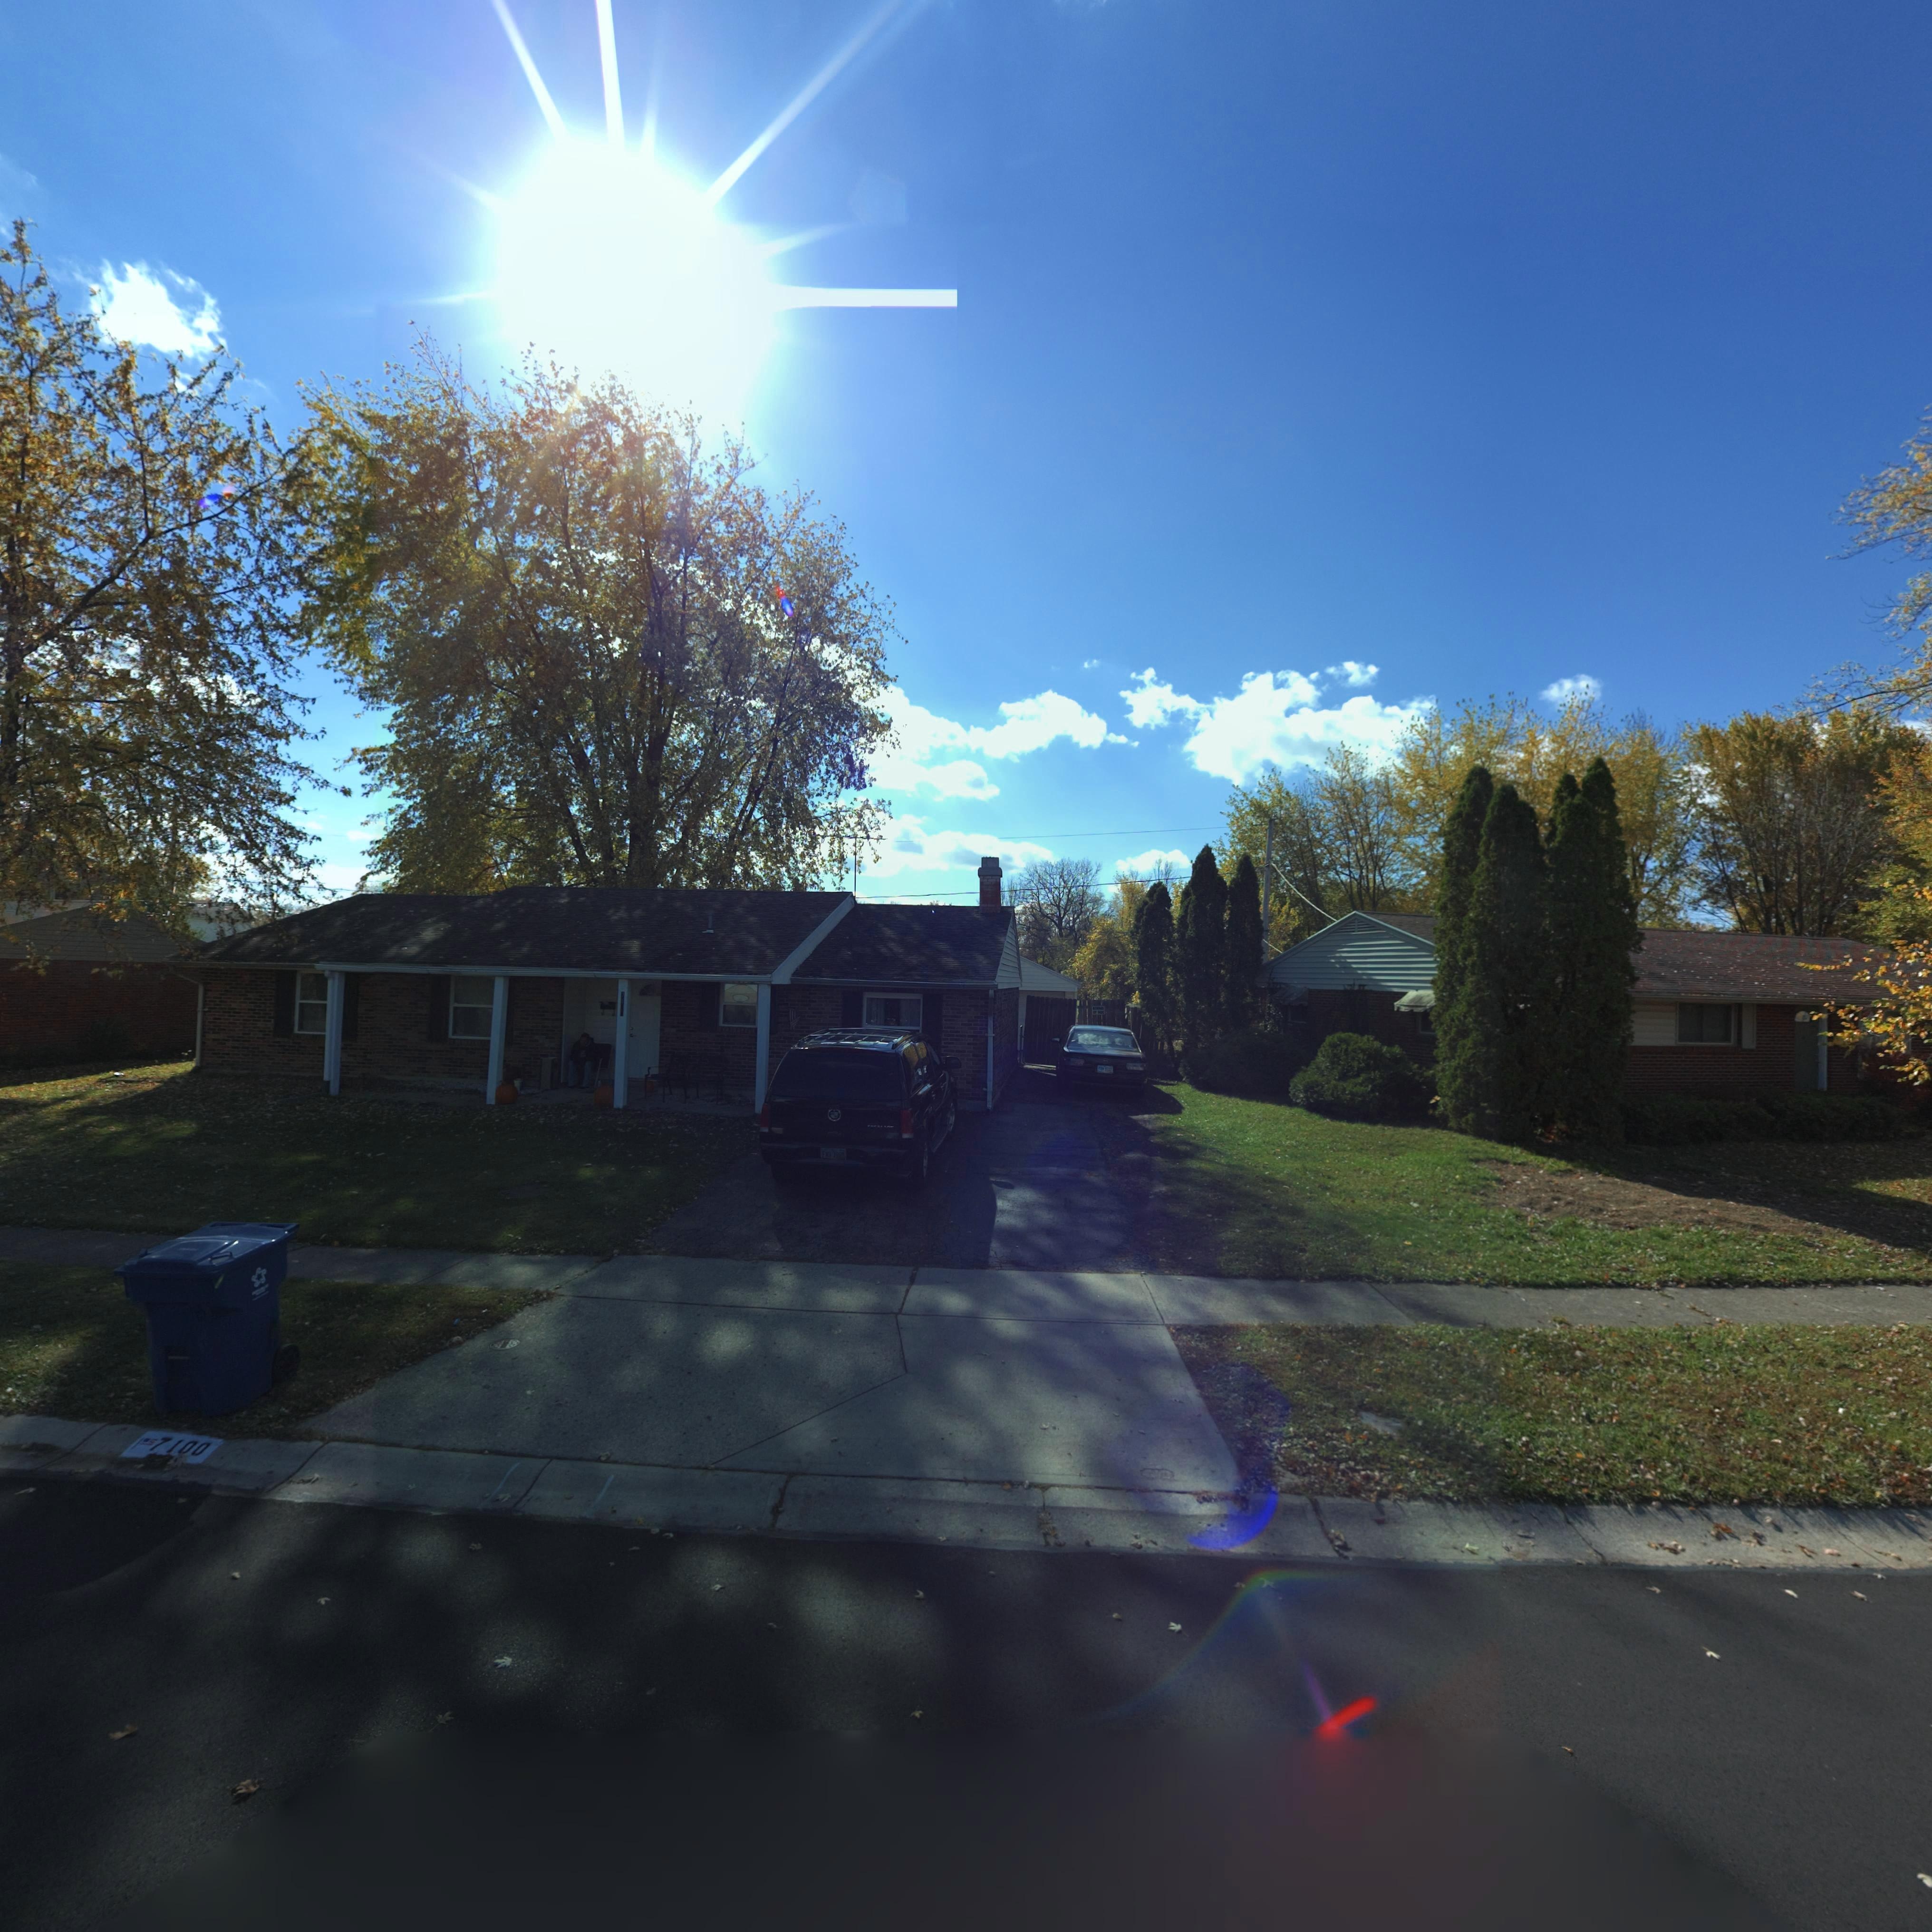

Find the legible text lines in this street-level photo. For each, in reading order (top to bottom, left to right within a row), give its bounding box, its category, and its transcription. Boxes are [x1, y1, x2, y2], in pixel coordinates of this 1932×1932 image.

[146, 1435, 213, 1458] StreetNumber: 7100